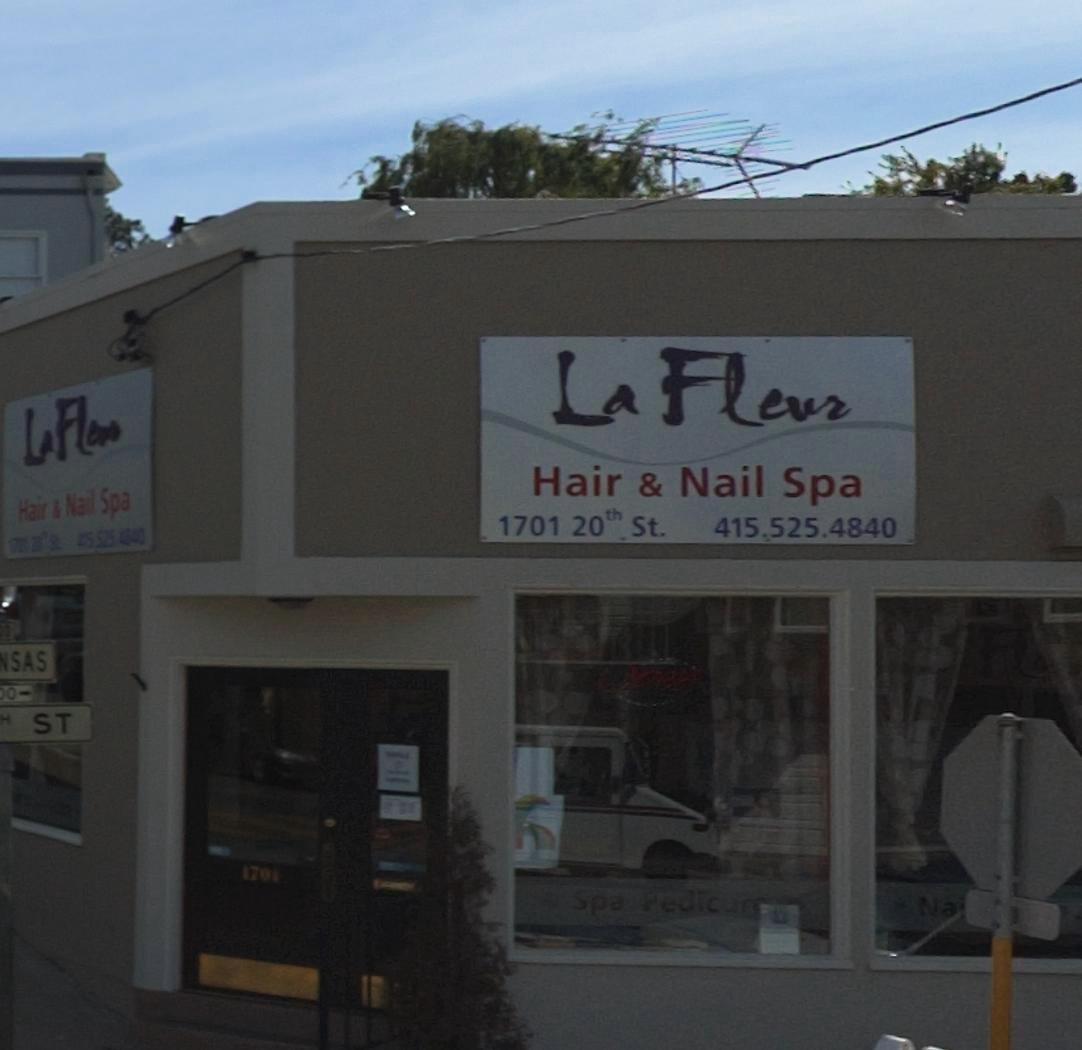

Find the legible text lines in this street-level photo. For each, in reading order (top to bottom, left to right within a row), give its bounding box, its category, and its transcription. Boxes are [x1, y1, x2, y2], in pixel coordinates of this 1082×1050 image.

[548, 341, 856, 432] BusinessName: La flur
[17, 380, 129, 475] BusinessName: La Fl**
[529, 460, 876, 509] BusinessName: Hair & Nail Spa
[15, 479, 136, 529] BusinessName: Hair * NailSpa
[92, 525, 118, 551] None: 525
[498, 511, 562, 539] StreetNumber: 1701
[569, 506, 669, 543] StreetName: 20th. St.
[711, 514, 901, 543] None: 415.525.4840
[8, 647, 50, 675] None: SAS
[5, 686, 34, 704] None: 0->
[31, 708, 78, 737] None: ST
[239, 861, 285, 889] StreetNumber: 1701
[569, 884, 771, 923] None: Spa Pedicu*
[916, 891, 958, 921] None: Na